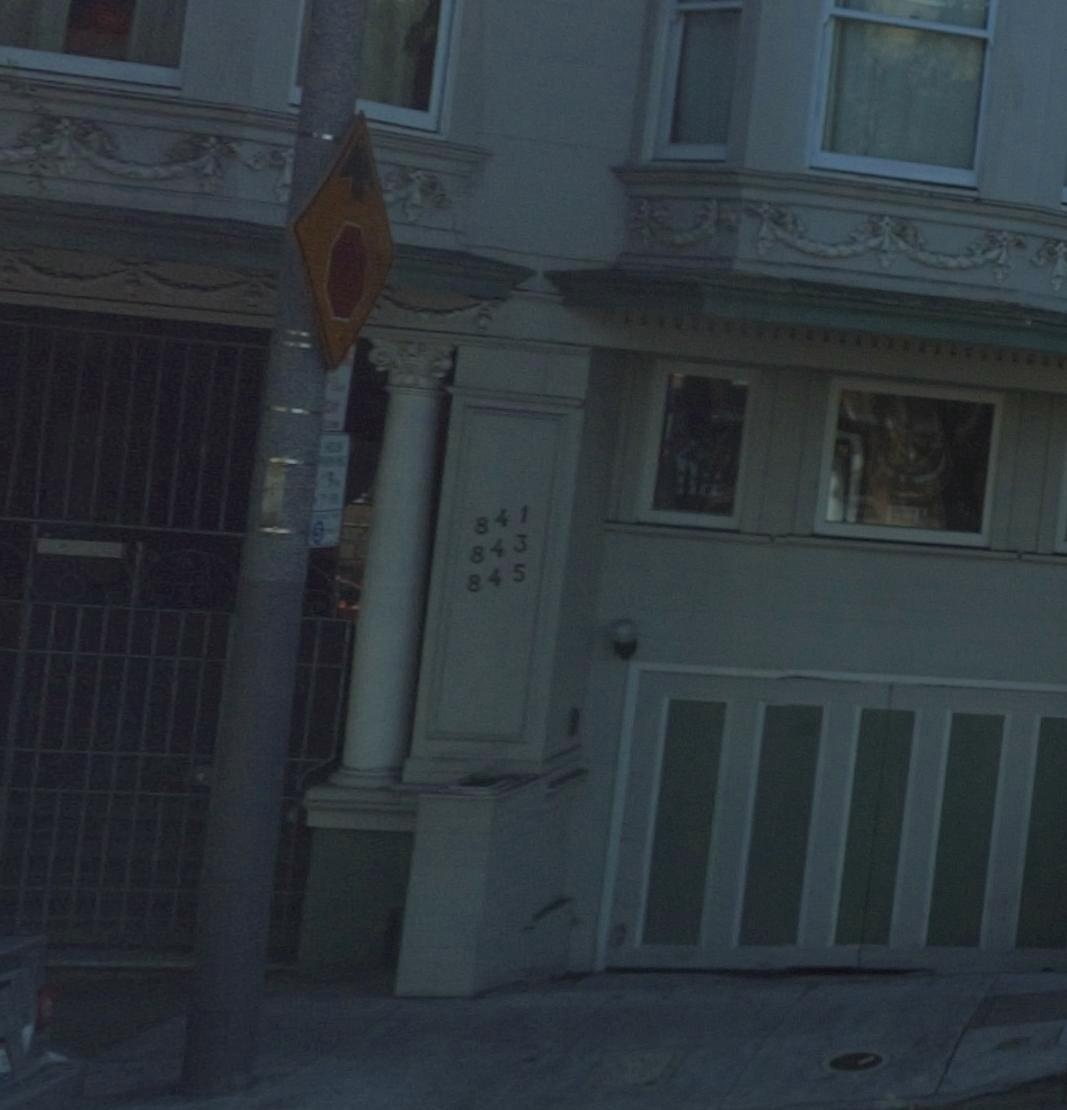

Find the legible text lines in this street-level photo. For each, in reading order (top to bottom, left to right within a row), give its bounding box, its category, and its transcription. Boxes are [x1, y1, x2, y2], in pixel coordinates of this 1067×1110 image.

[473, 502, 530, 539] StreetNumber: 841
[468, 530, 529, 566] StreetNumber: 843
[467, 561, 528, 593] StreetNumber: 845